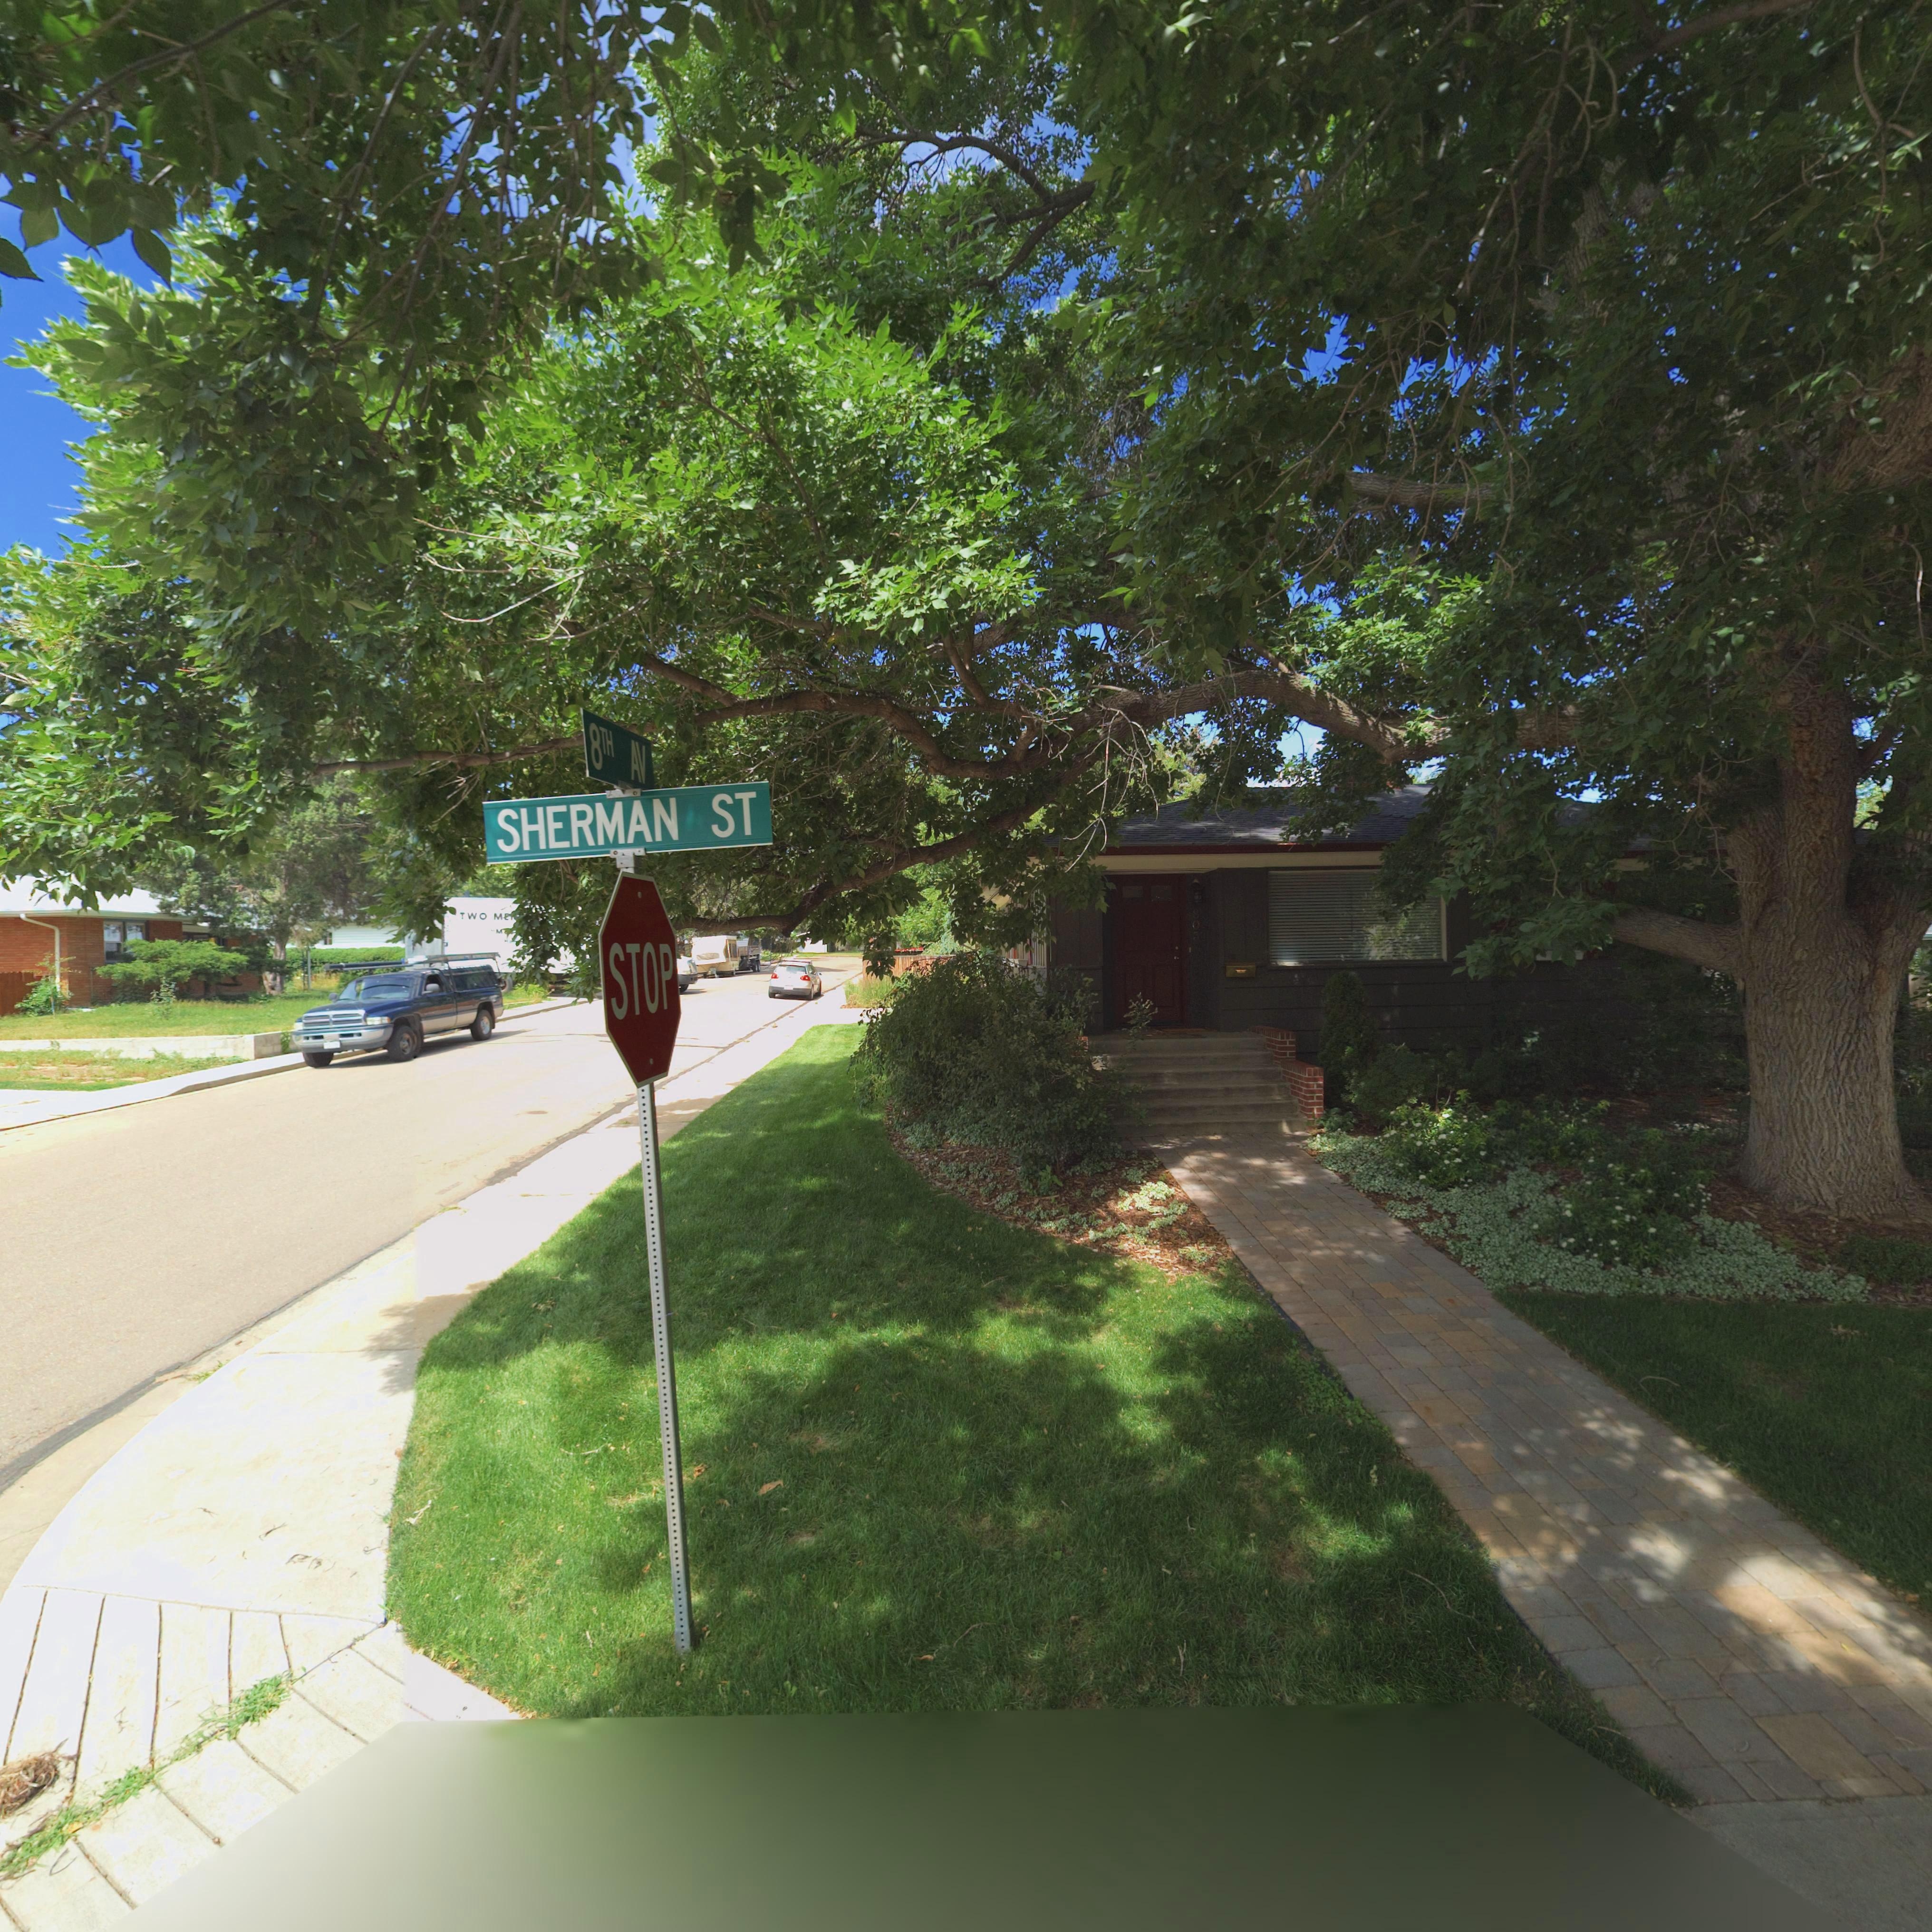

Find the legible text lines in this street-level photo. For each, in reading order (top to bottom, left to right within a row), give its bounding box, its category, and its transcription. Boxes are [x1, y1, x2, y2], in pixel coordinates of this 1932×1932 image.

[588, 721, 647, 786] StreetName: 8TH AV
[495, 790, 758, 853] StreetName: SHERMAN ST
[1192, 908, 1200, 941] StreetNumber: 803